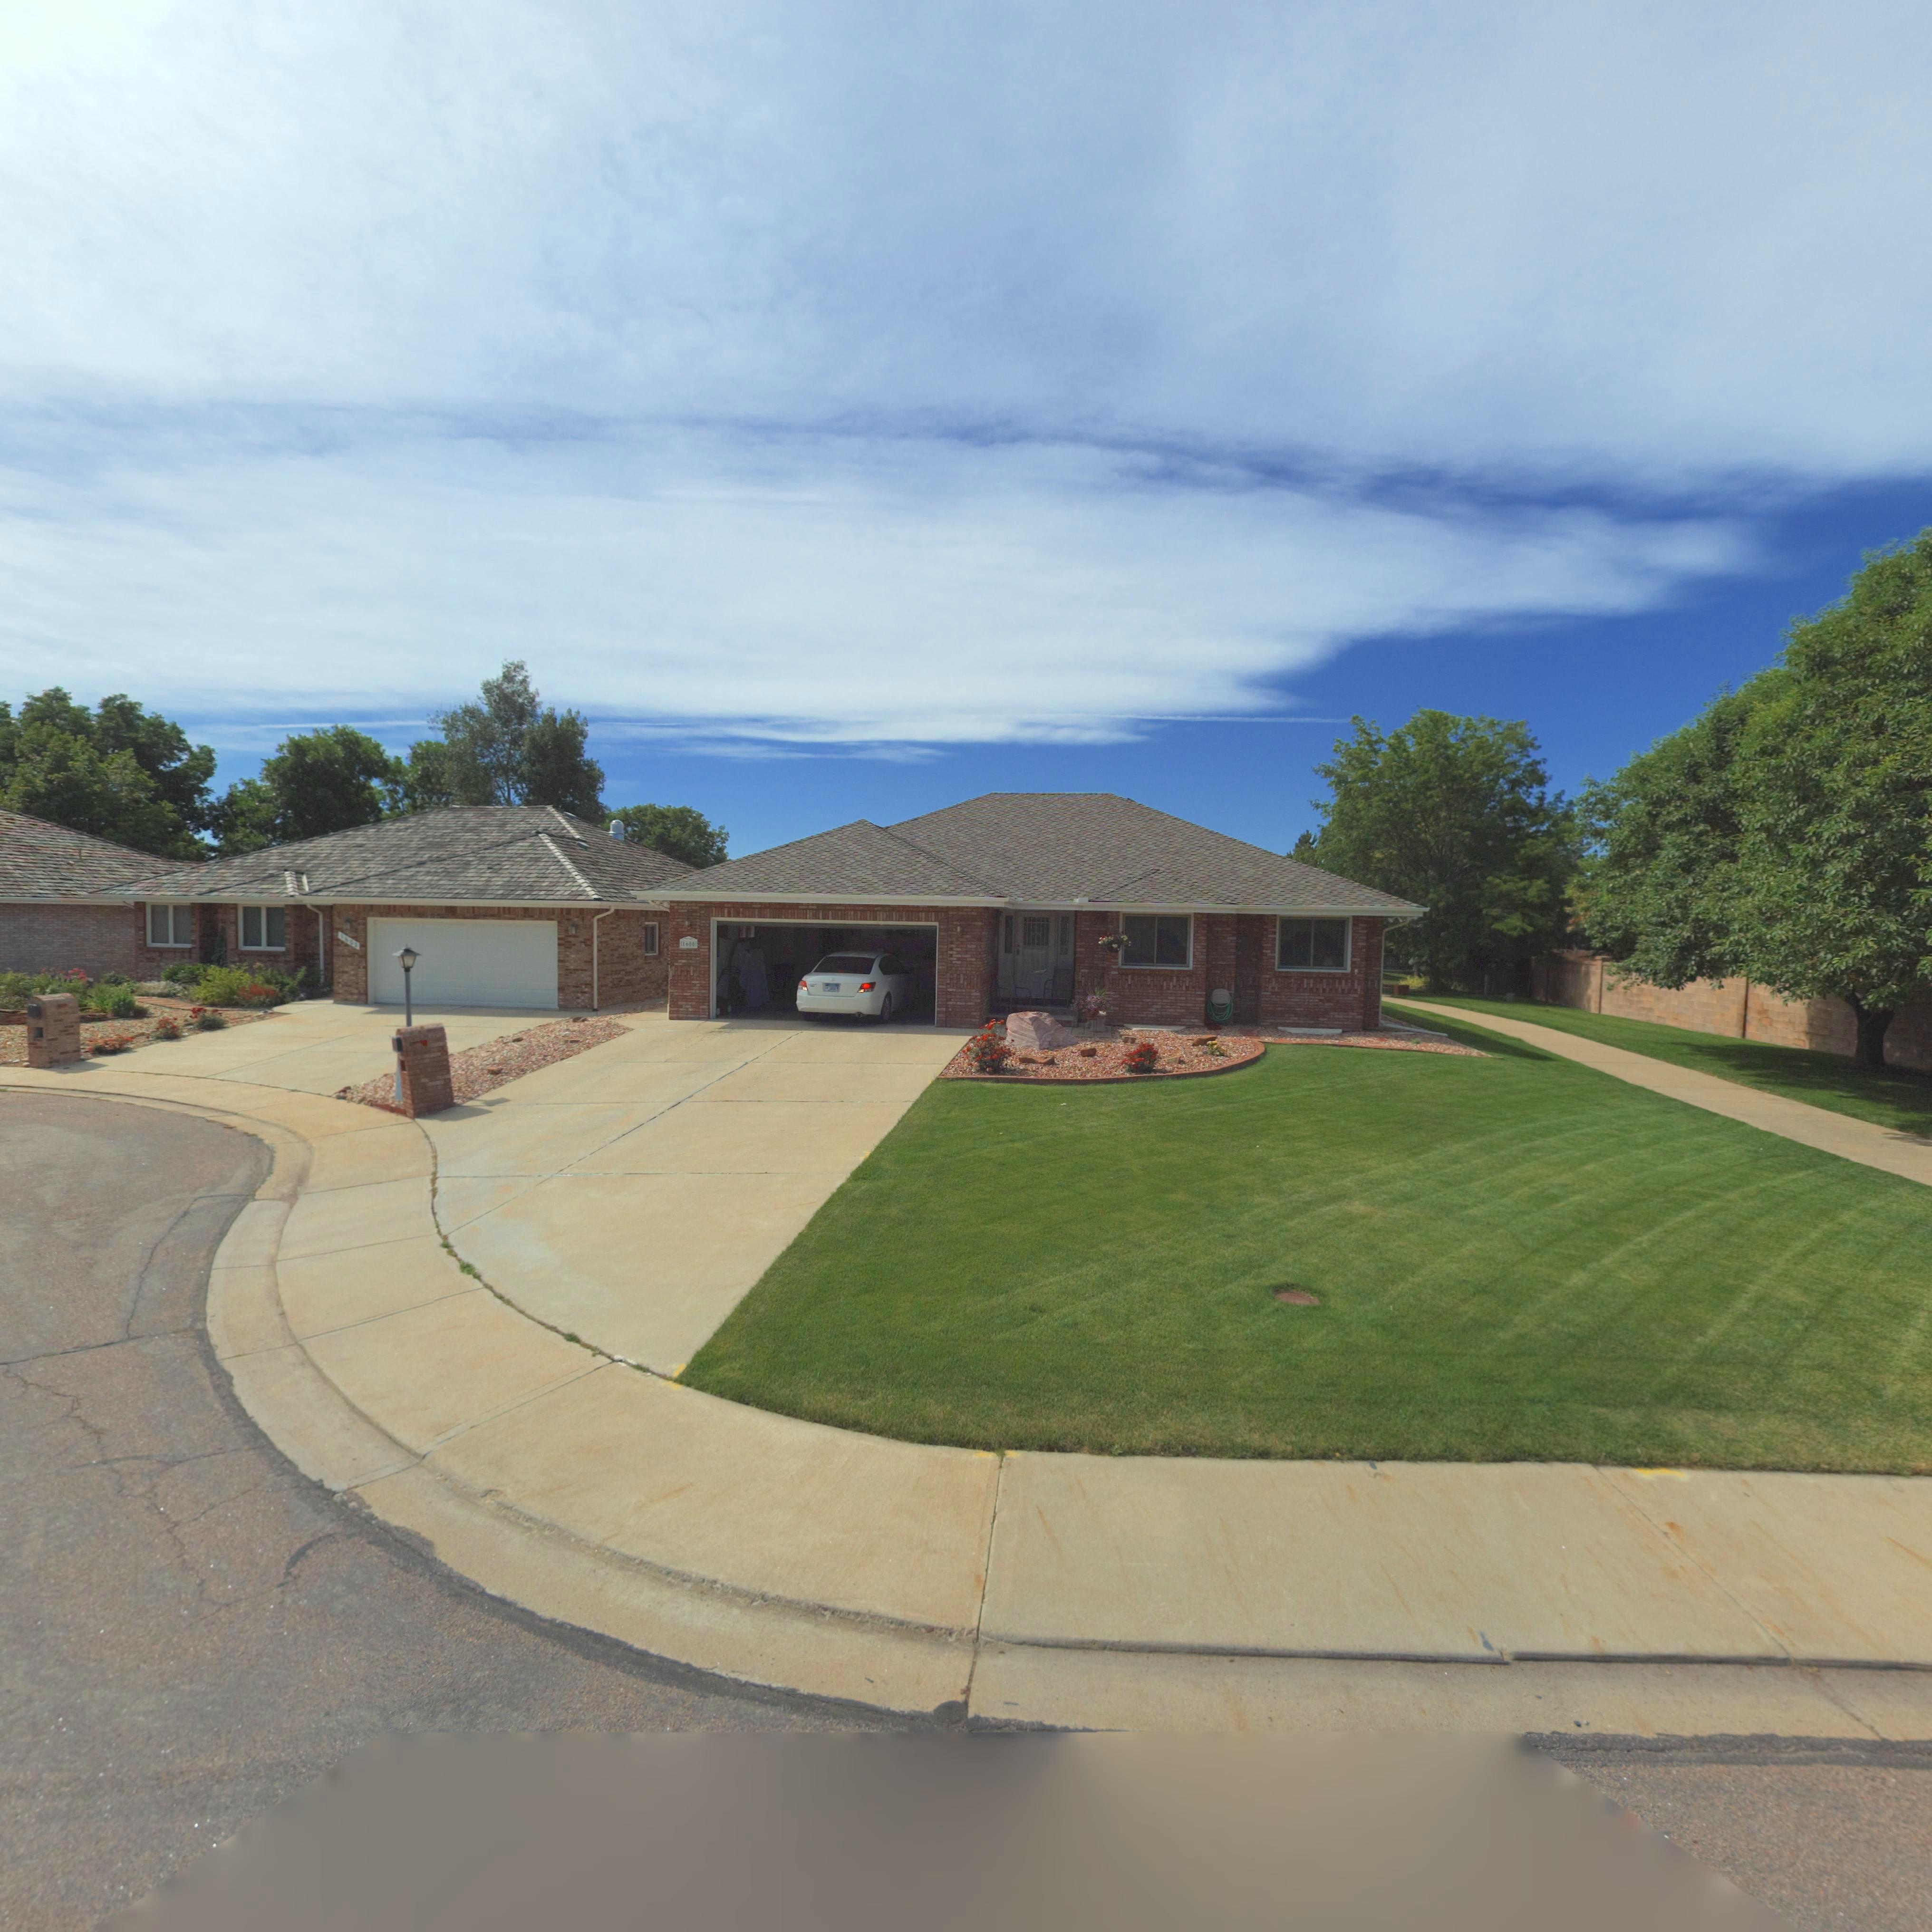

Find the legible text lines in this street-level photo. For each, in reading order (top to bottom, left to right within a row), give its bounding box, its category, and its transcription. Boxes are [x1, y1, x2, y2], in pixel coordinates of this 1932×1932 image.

[340, 933, 358, 947] StreetNumber: 1*03
[682, 941, 695, 946] StreetNumber: 1*00